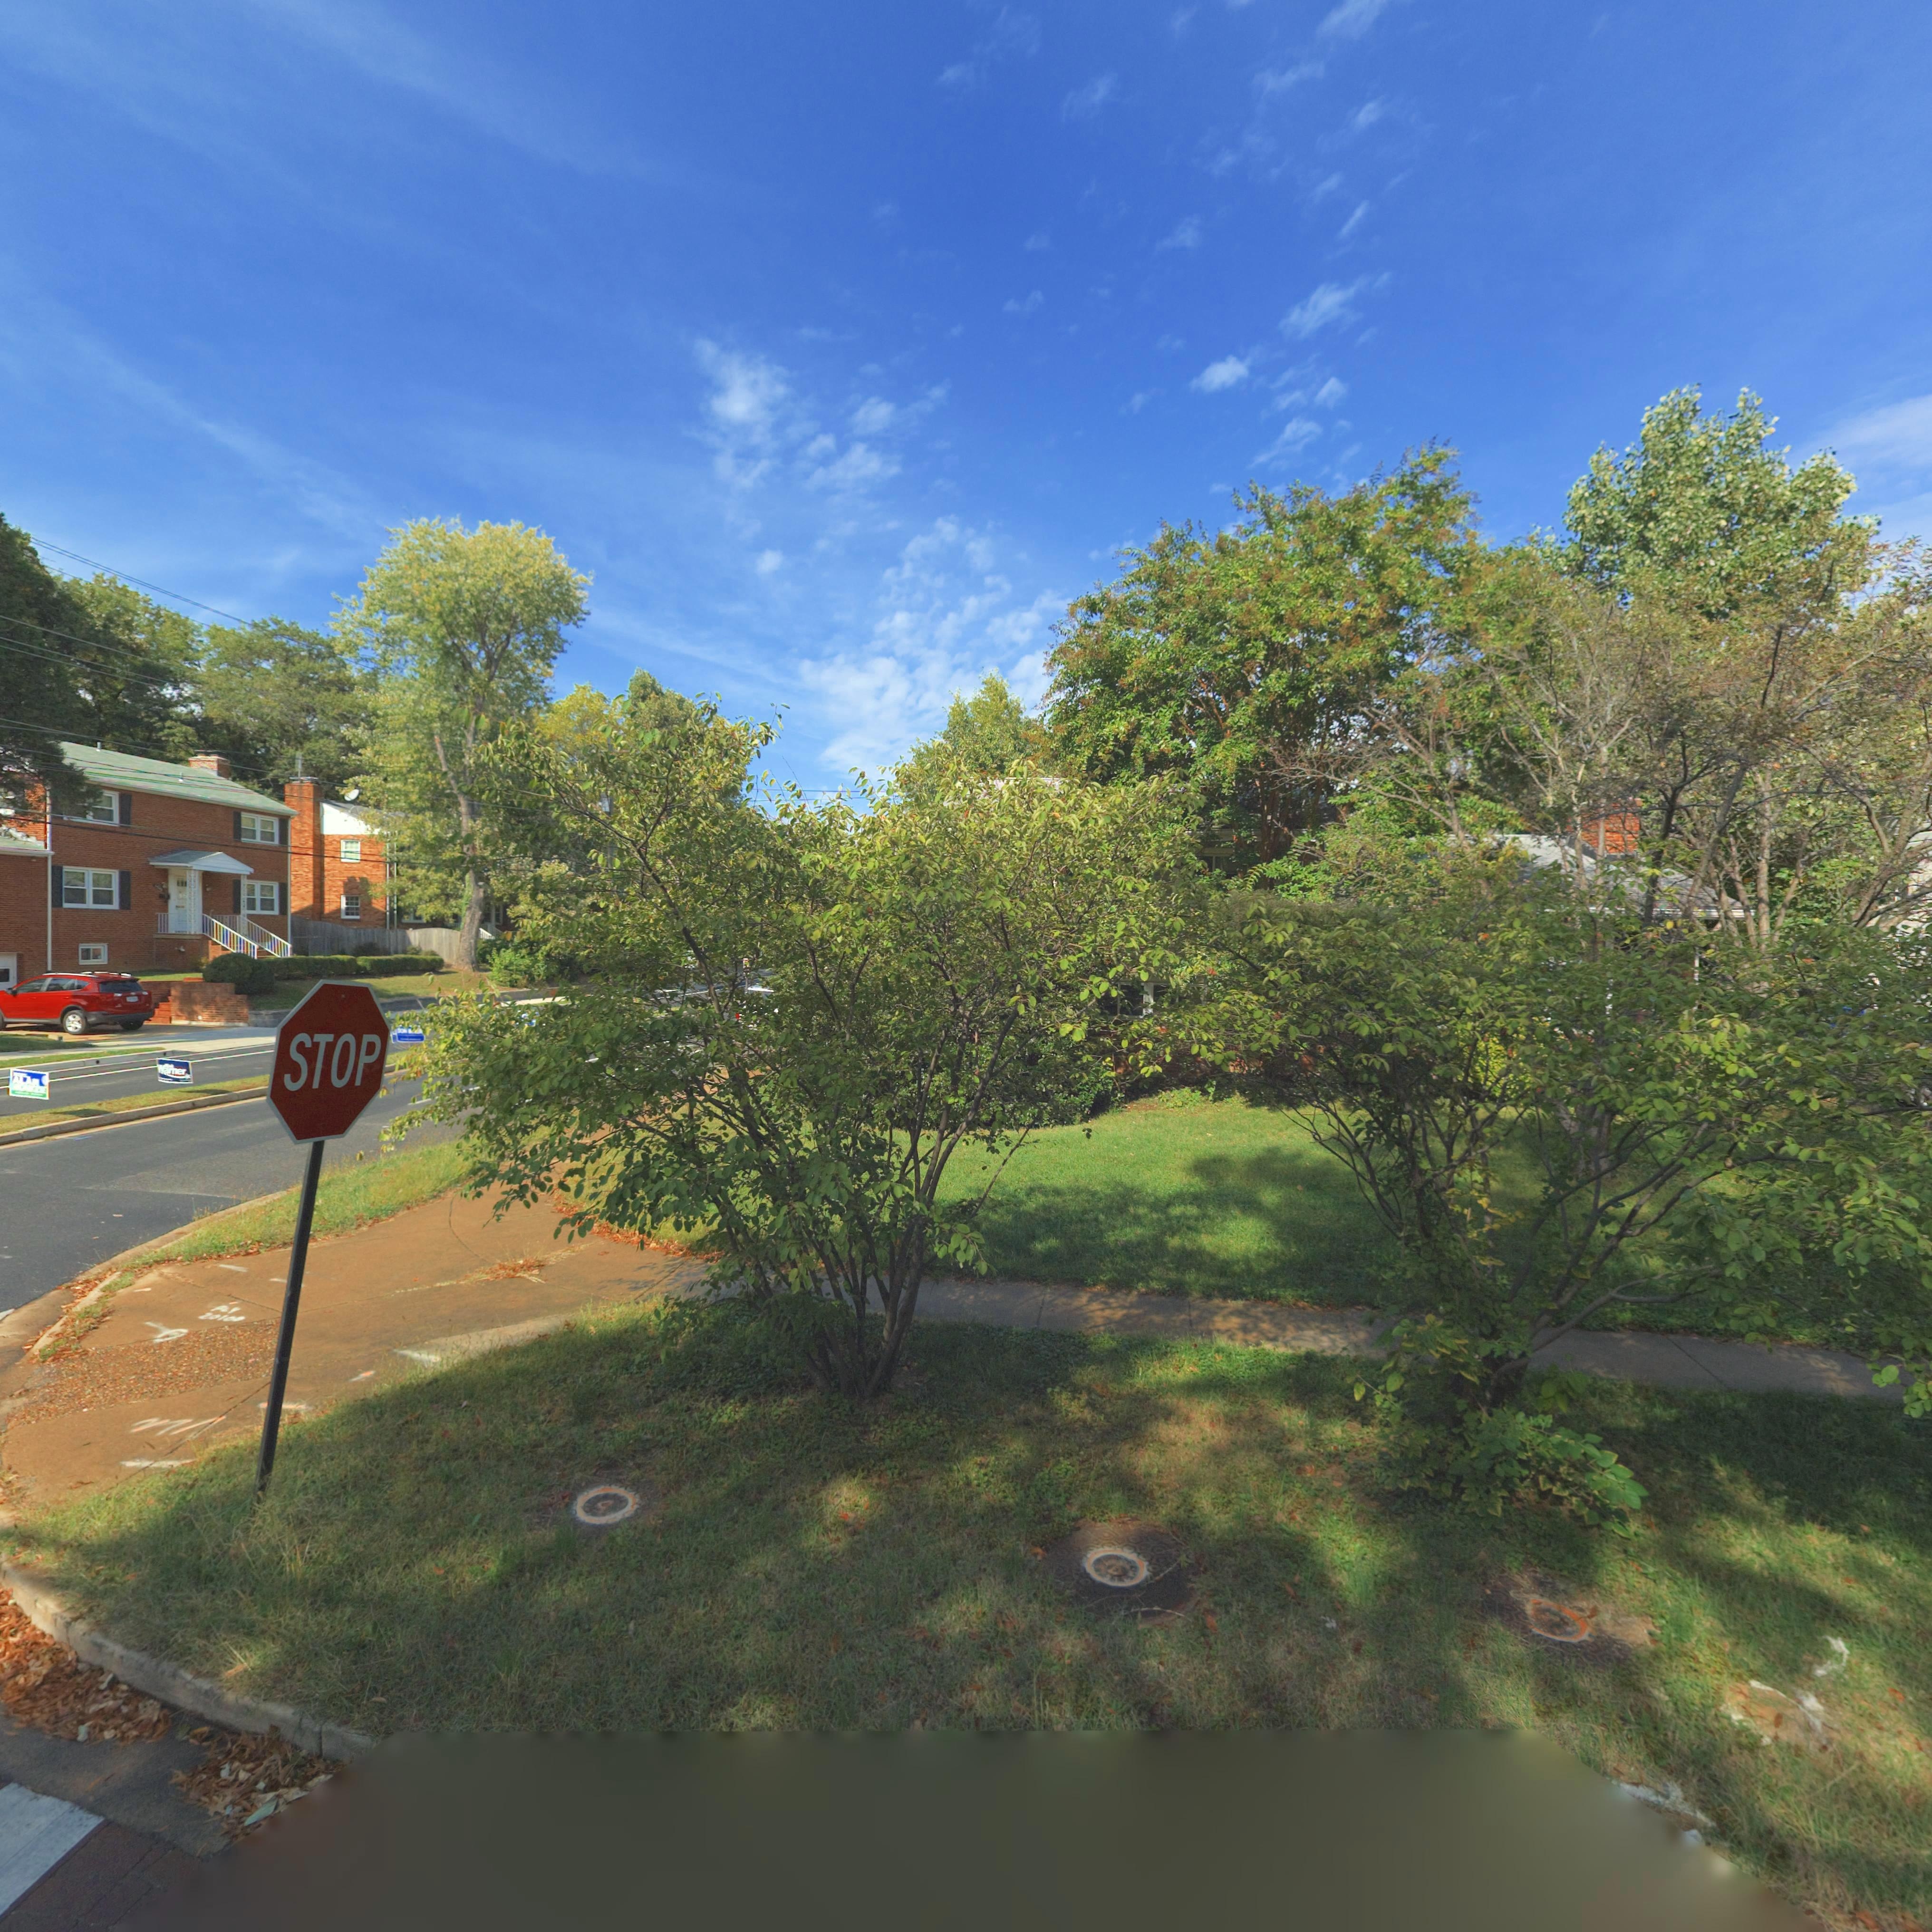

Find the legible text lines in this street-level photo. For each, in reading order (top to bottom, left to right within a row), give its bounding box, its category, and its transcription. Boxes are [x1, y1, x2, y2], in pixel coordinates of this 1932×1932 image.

[11, 1074, 41, 1087] None: ALAN
[281, 1031, 383, 1094] None: STOP